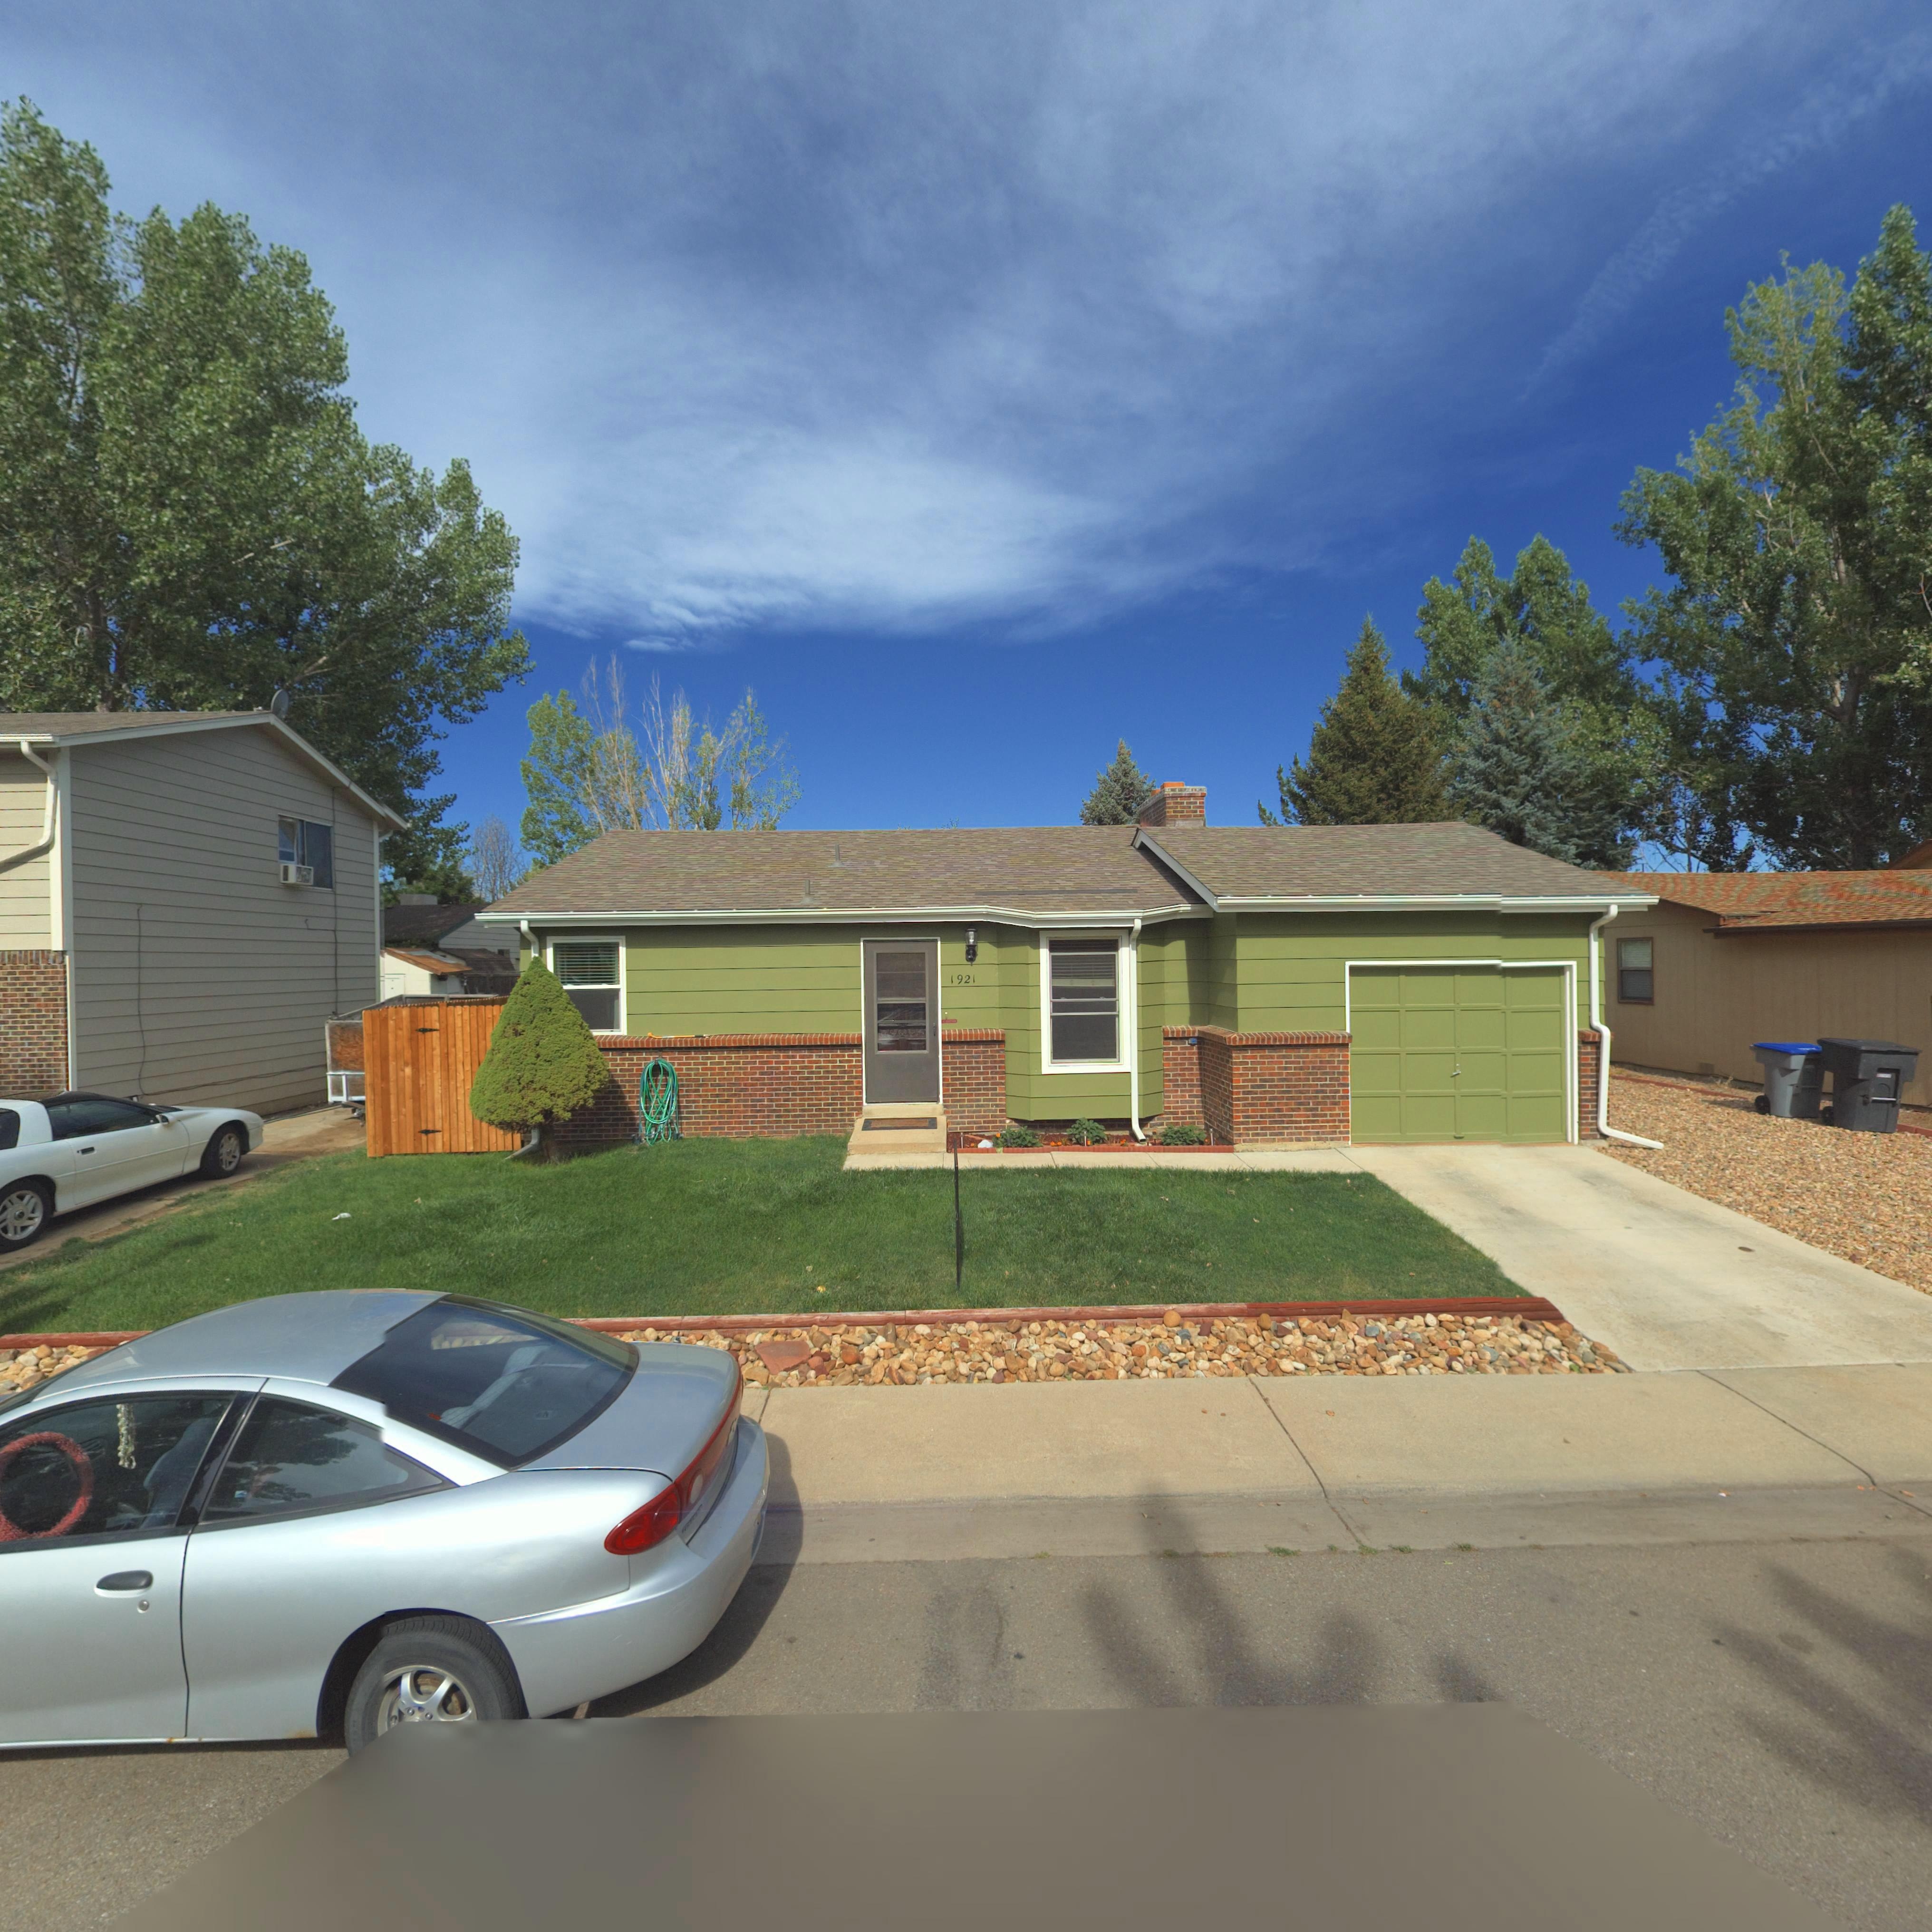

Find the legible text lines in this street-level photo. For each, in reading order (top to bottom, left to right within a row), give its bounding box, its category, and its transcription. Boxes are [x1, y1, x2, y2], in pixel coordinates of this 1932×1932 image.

[951, 974, 975, 985] StreetNumber: 1921